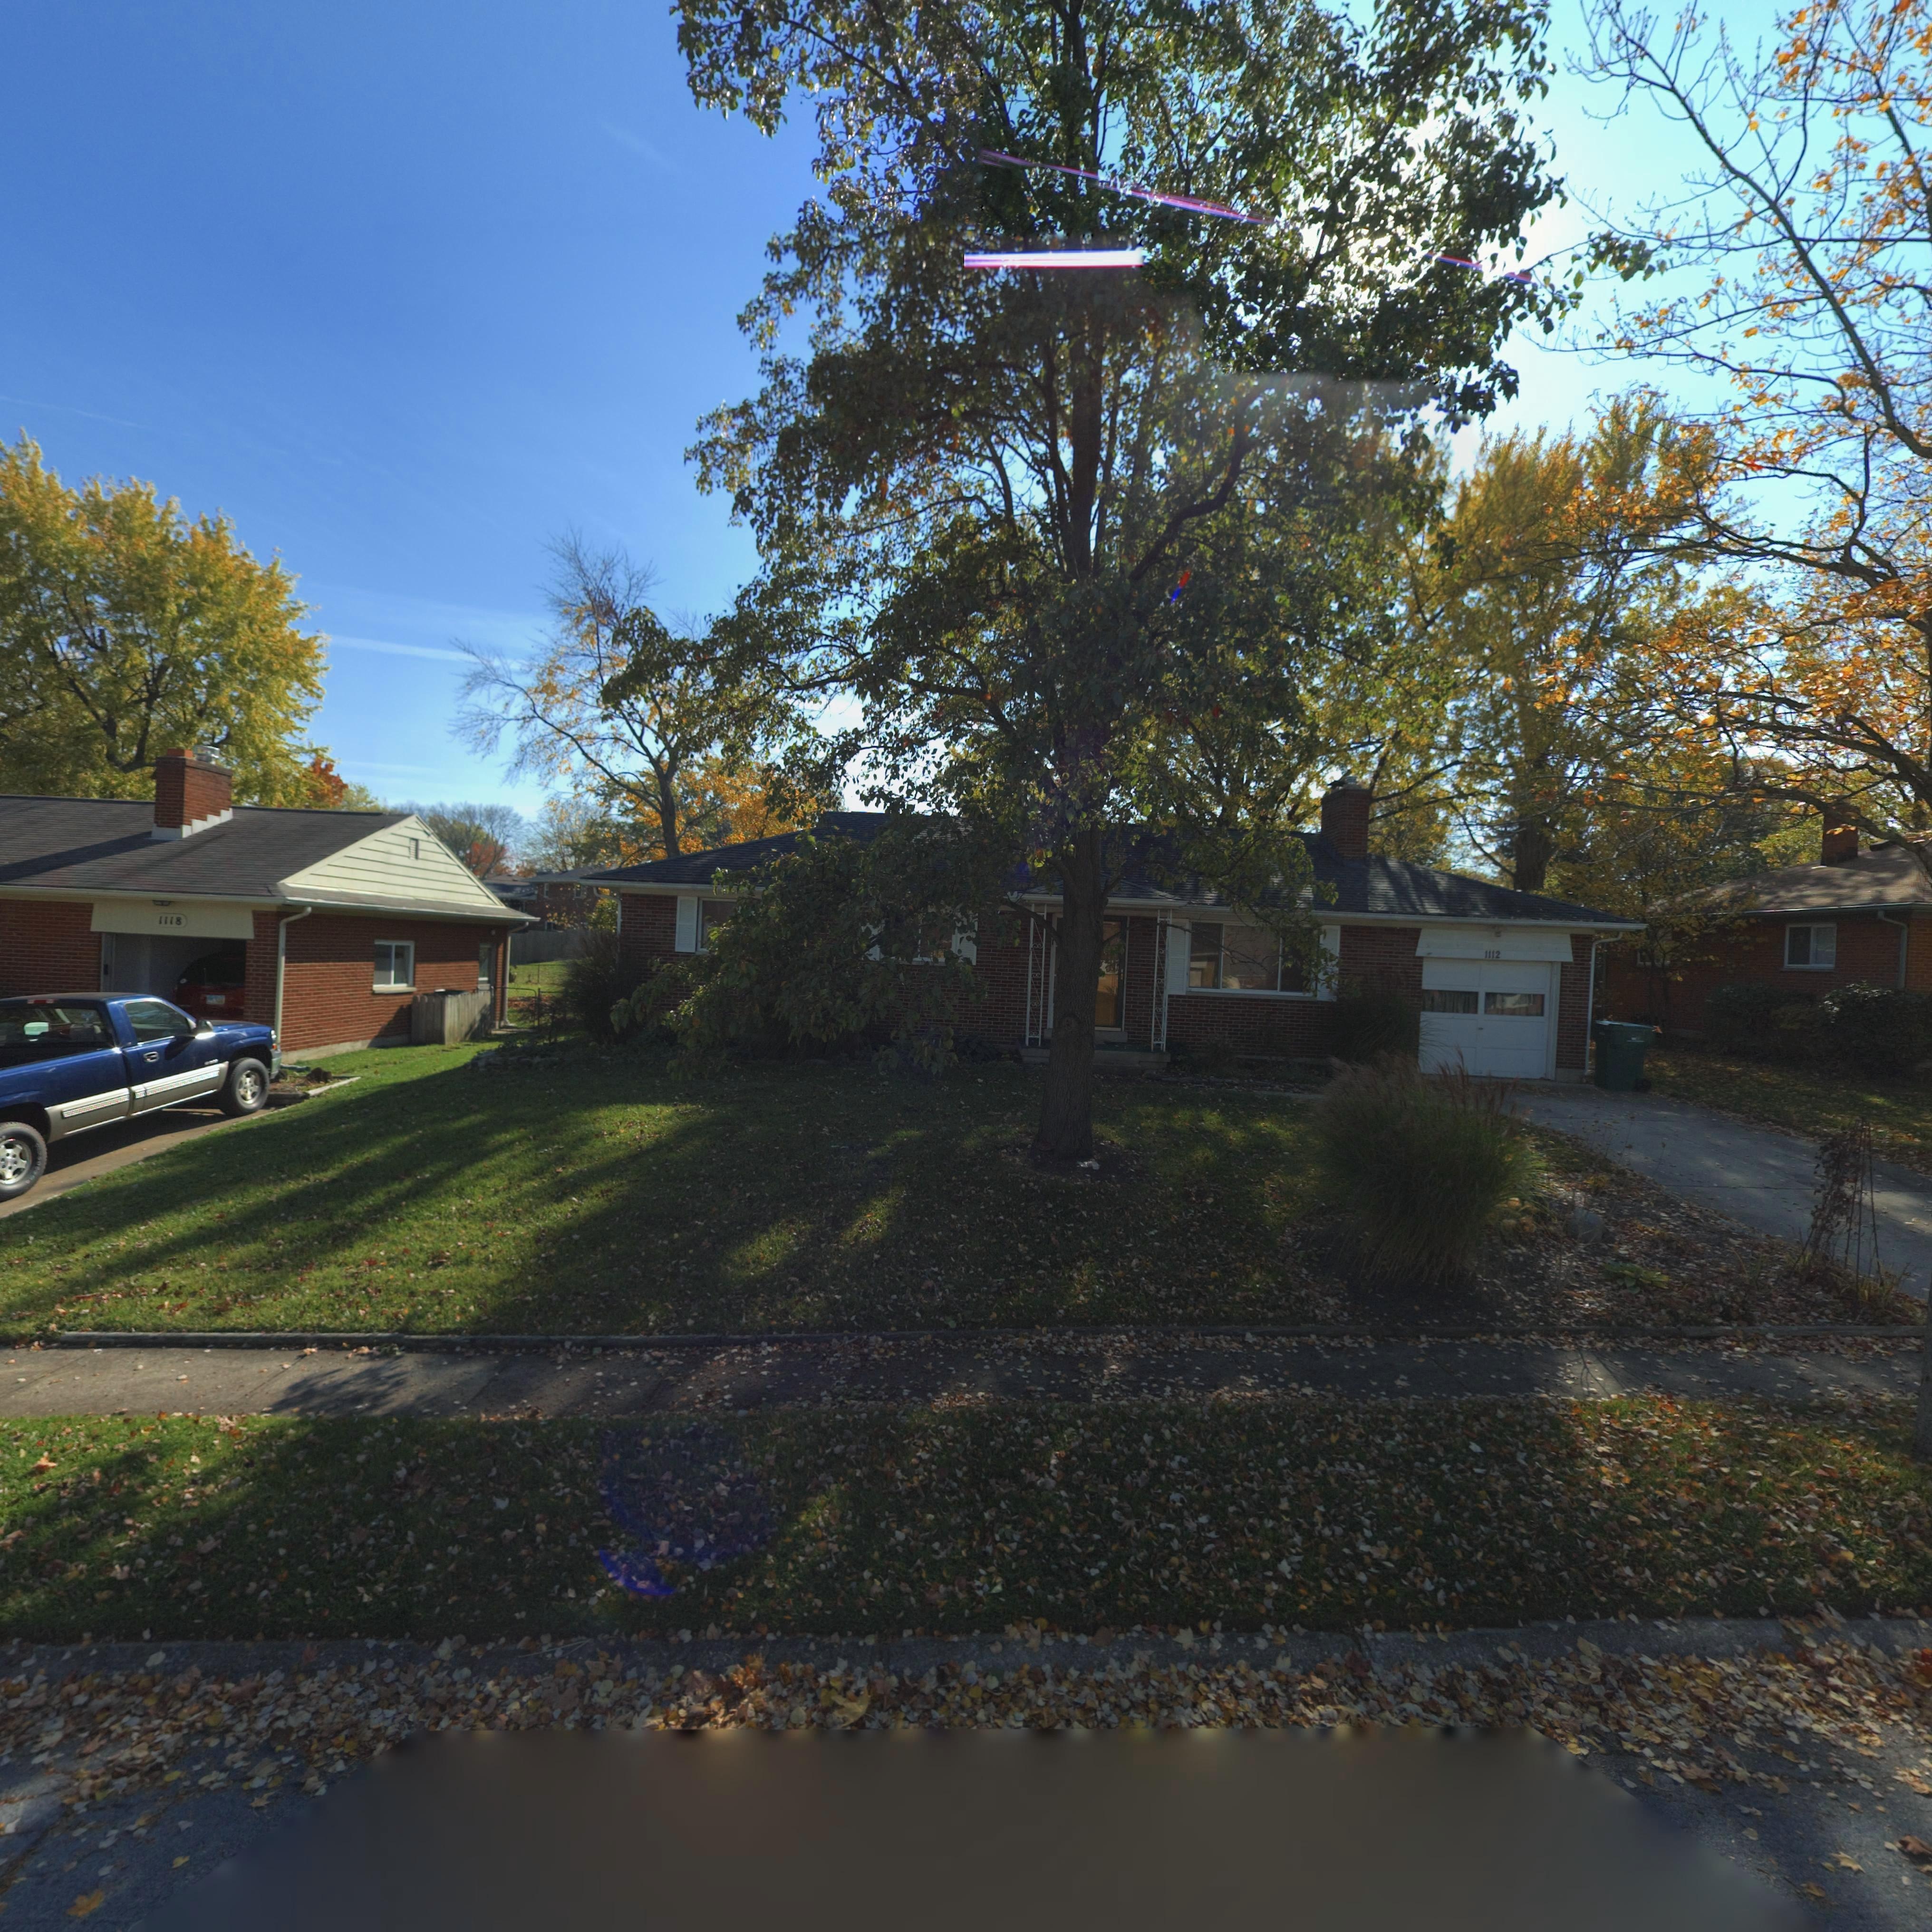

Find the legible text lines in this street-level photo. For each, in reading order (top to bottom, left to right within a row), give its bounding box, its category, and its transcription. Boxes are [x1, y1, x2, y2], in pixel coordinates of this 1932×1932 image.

[158, 916, 183, 926] StreetNumber: 1118
[1484, 950, 1501, 959] StreetNumber: 1112